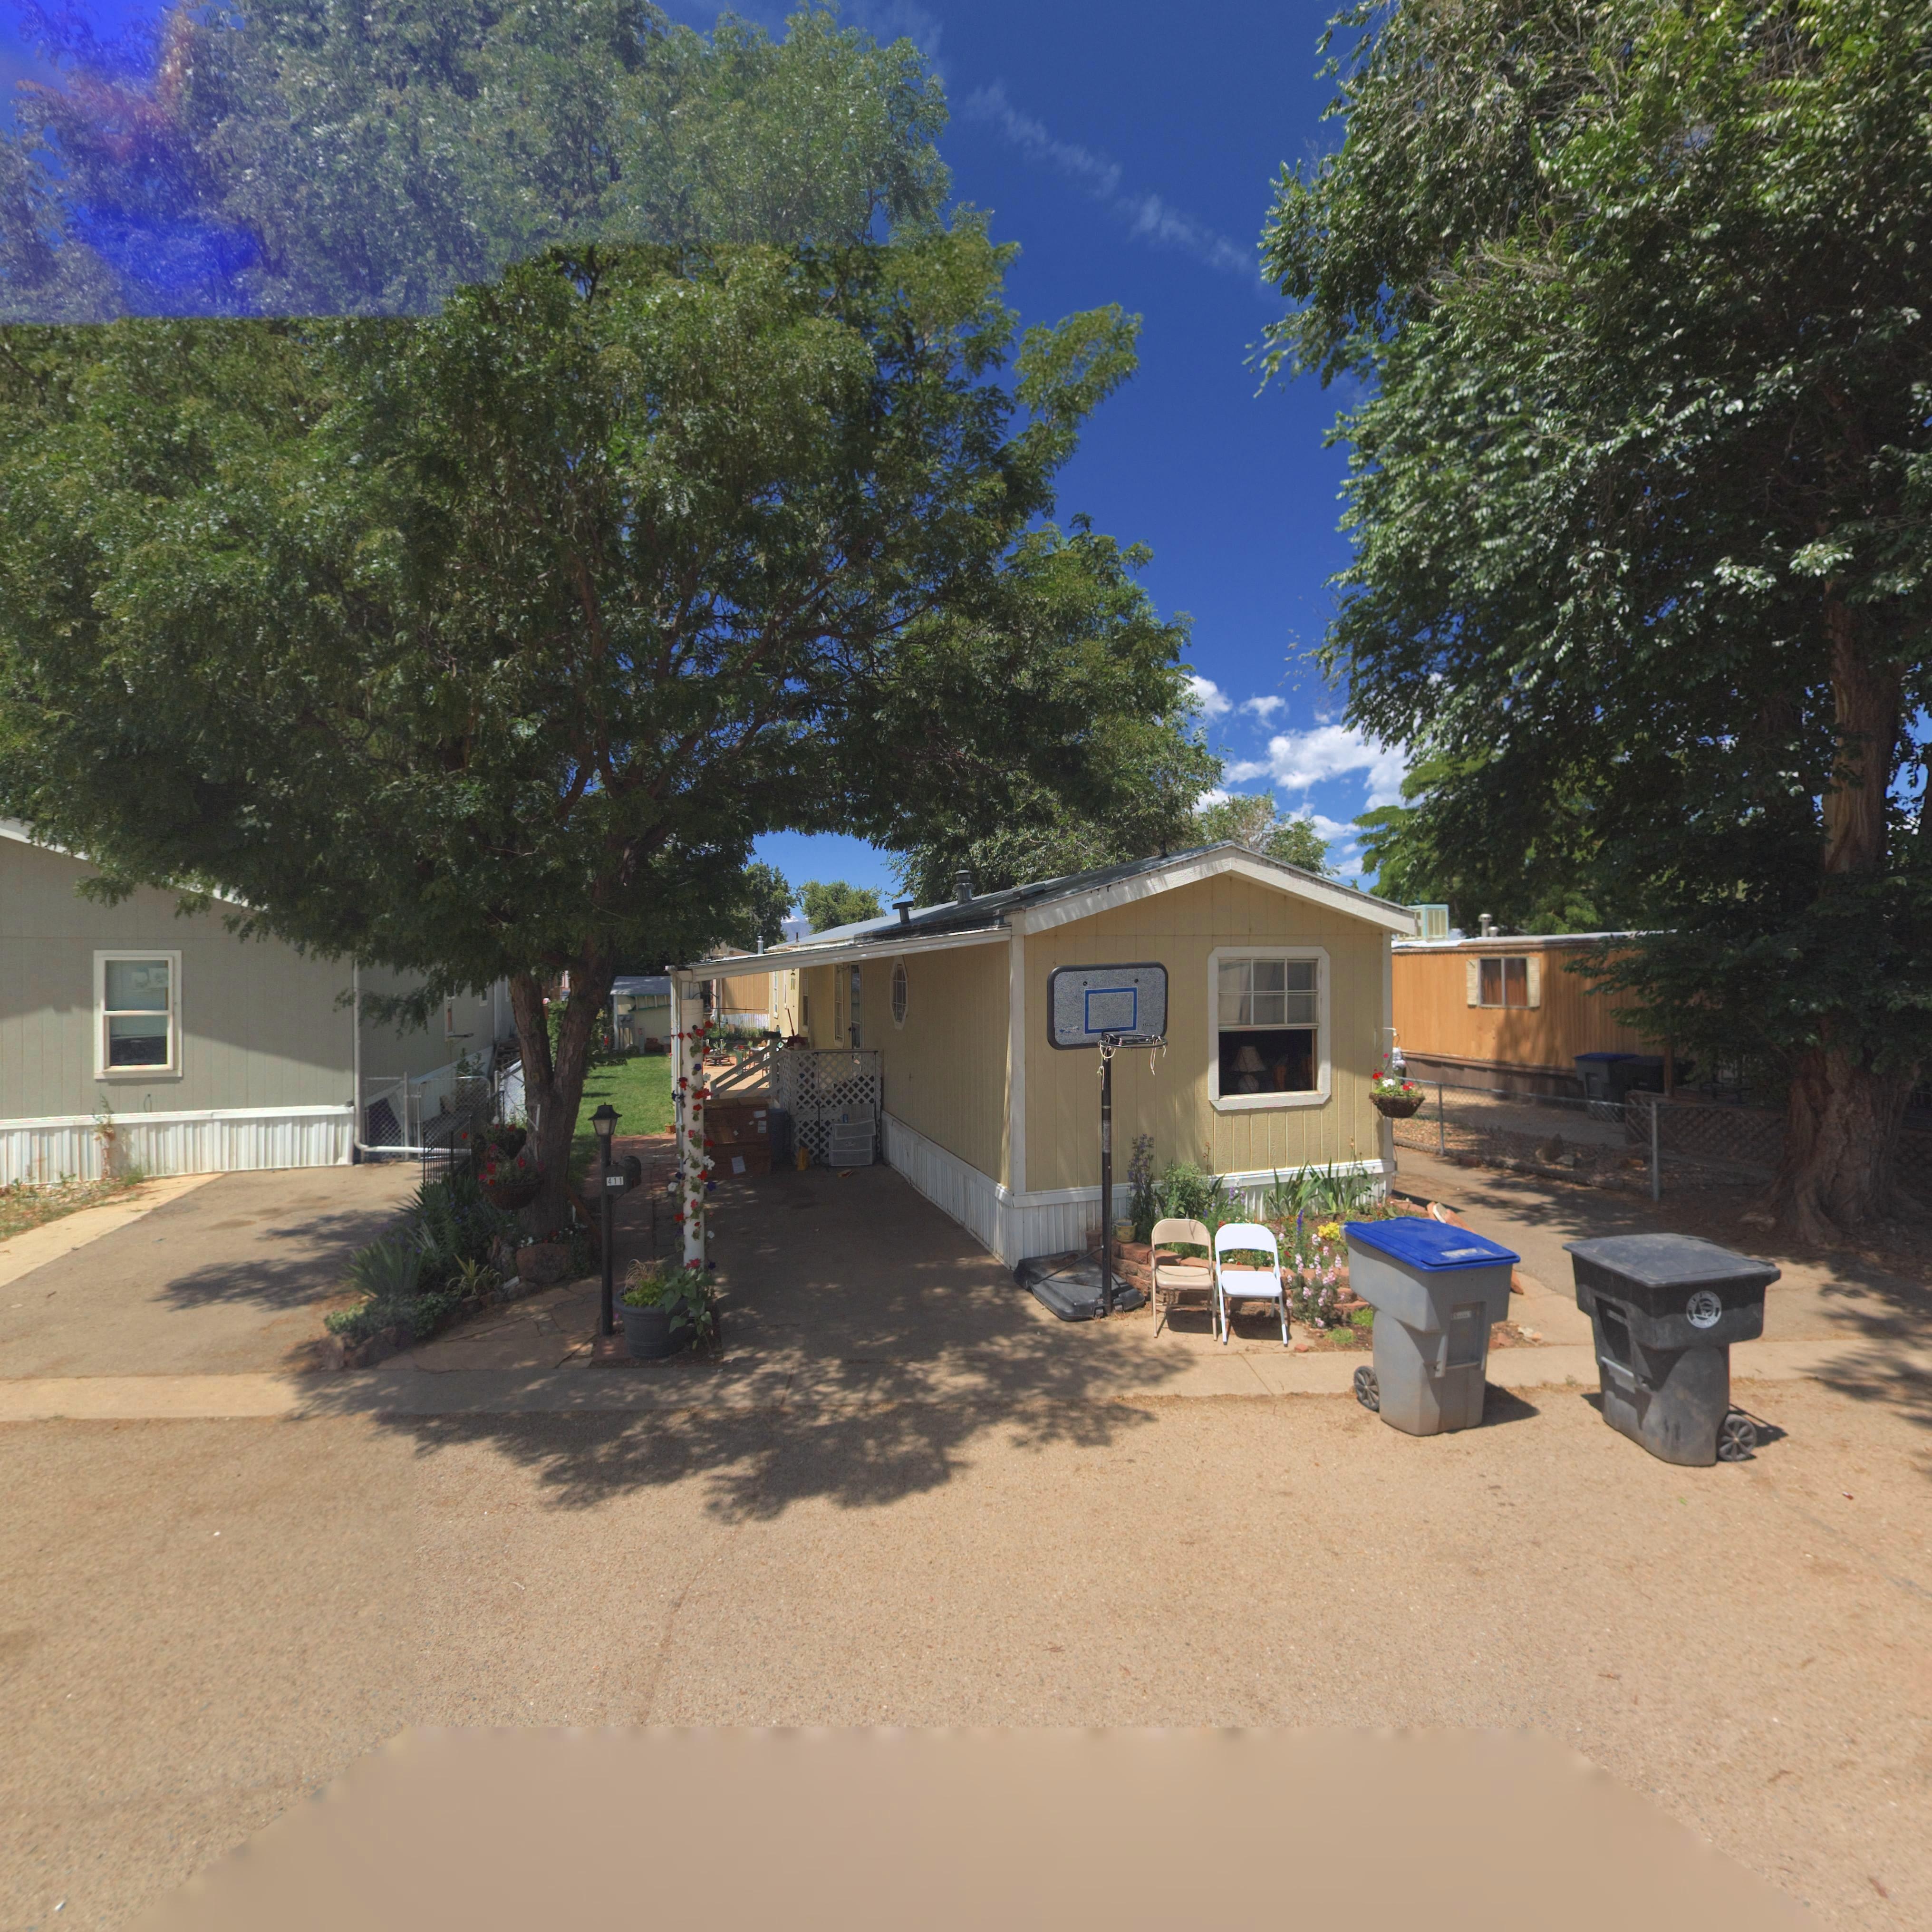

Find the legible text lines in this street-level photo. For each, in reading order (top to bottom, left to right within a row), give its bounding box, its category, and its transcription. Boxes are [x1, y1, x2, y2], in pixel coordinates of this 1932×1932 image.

[607, 1177, 622, 1185] StreetNumber: 411